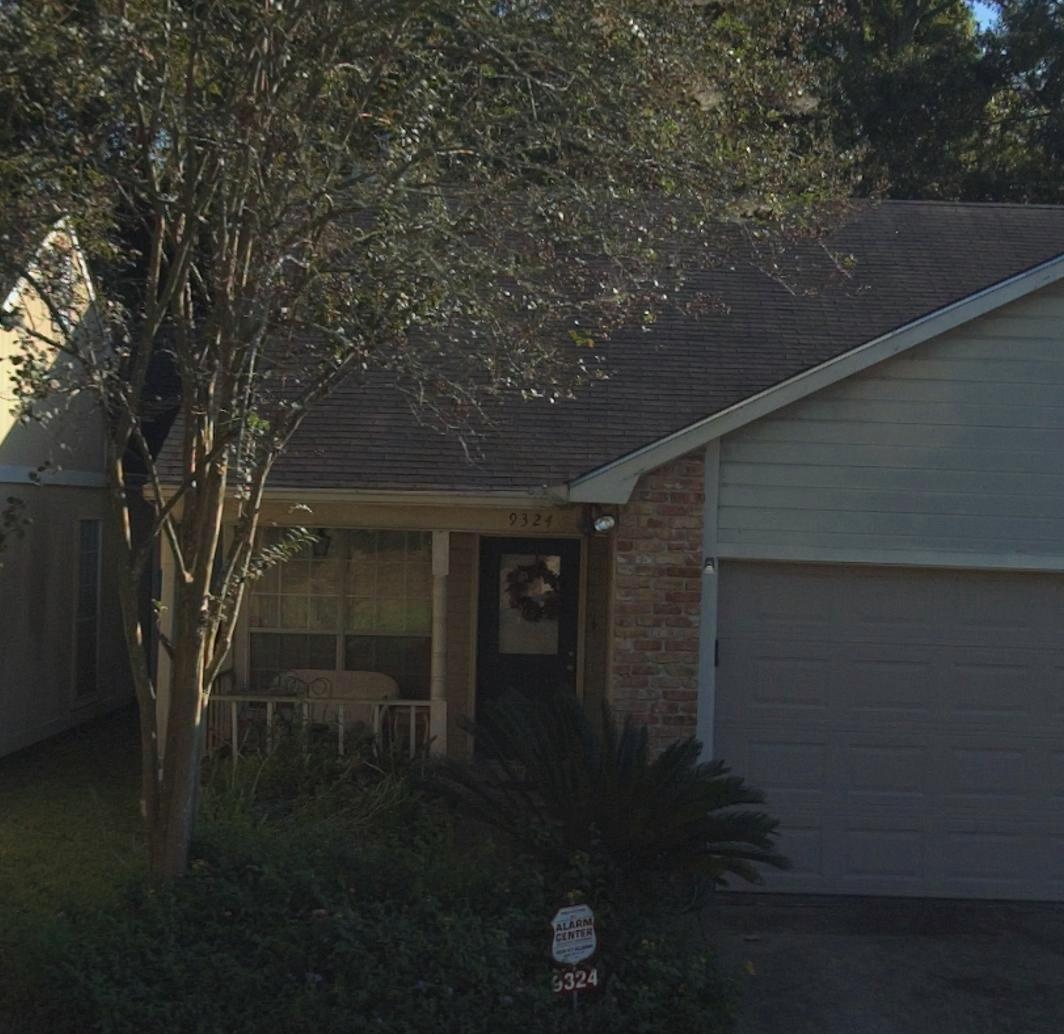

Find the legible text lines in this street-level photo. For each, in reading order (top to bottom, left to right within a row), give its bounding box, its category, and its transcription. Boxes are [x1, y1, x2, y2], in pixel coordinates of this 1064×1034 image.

[508, 512, 555, 529] StreetNumber: 9324
[554, 917, 593, 933] None: ALARM\
[554, 926, 593, 944] None: CENTER
[551, 968, 598, 994] StreetNumber: 9324